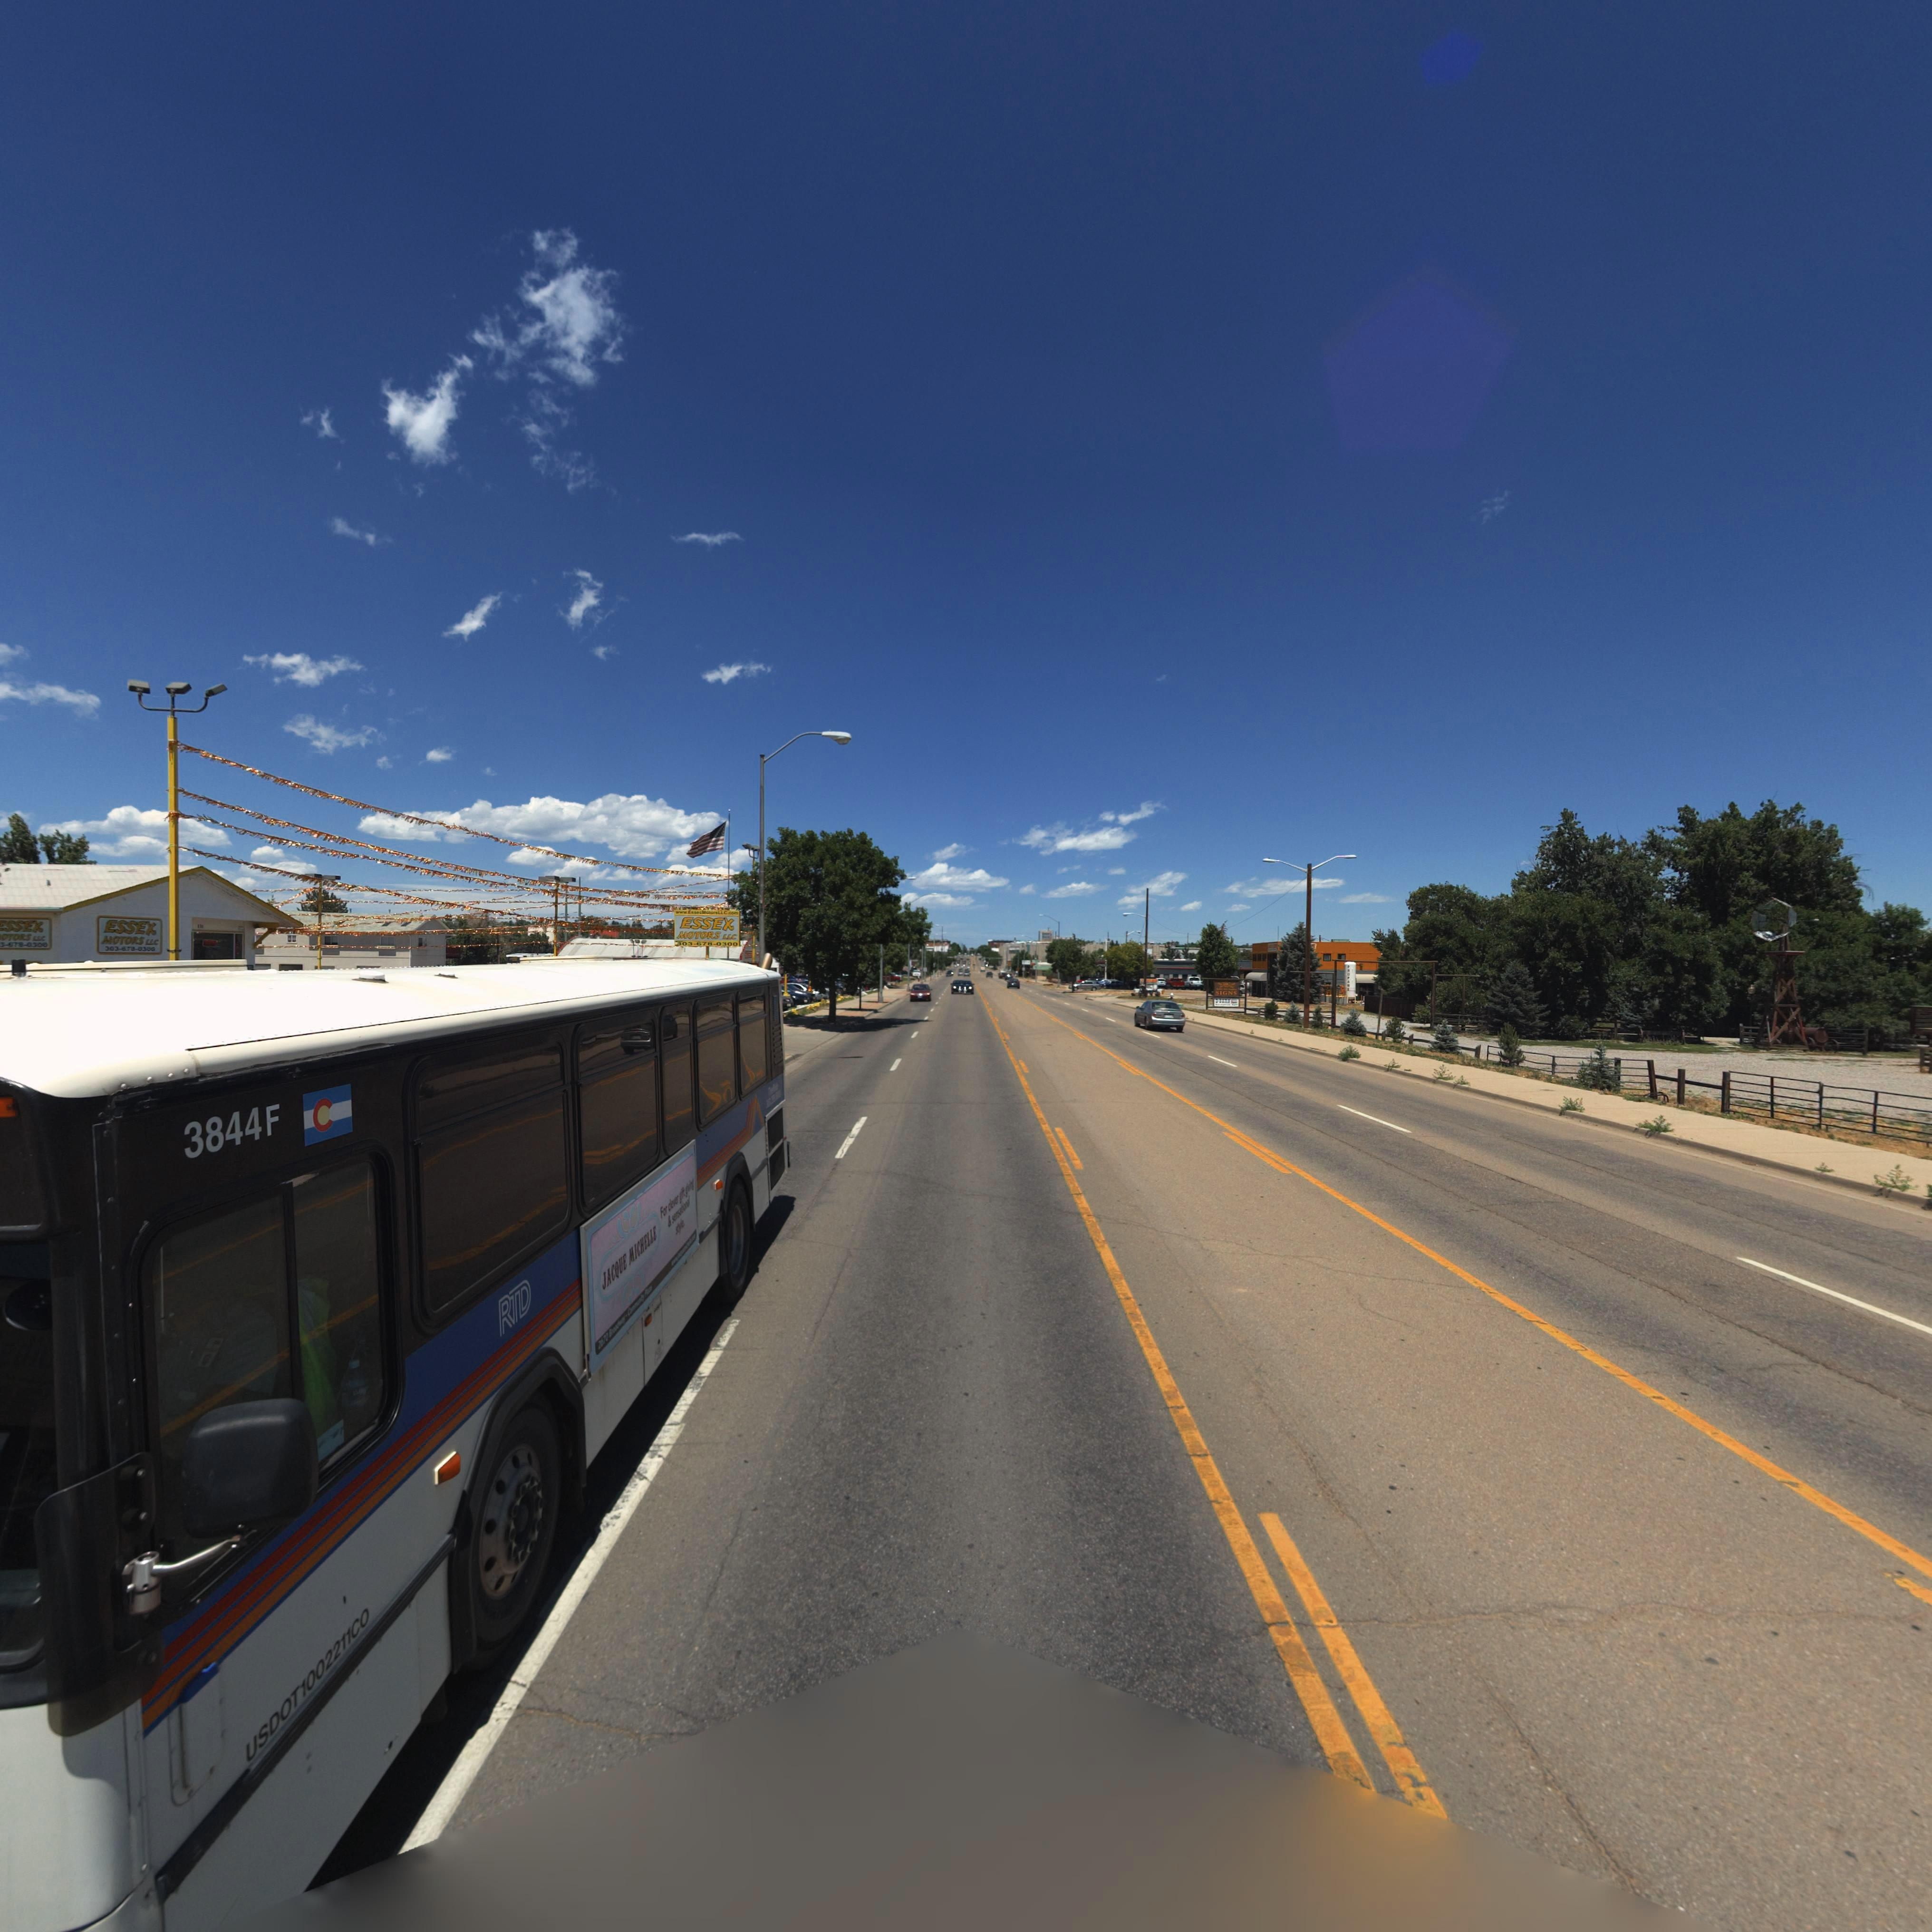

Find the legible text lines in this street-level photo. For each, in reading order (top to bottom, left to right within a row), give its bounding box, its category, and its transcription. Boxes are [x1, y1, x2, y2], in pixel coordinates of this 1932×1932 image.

[2, 919, 44, 934] BusinessName: SSEX
[103, 919, 157, 937] BusinessName: ESSEX
[679, 916, 735, 931] BusinessName: ESSEX
[0, 932, 47, 941] BusinessName: OTORS LLC
[100, 934, 159, 946] BusinessName: MOTORS LLC
[676, 930, 737, 940] BusinessName: MOTORS LLC
[1215, 990, 1237, 996] BusinessName: SIGNS